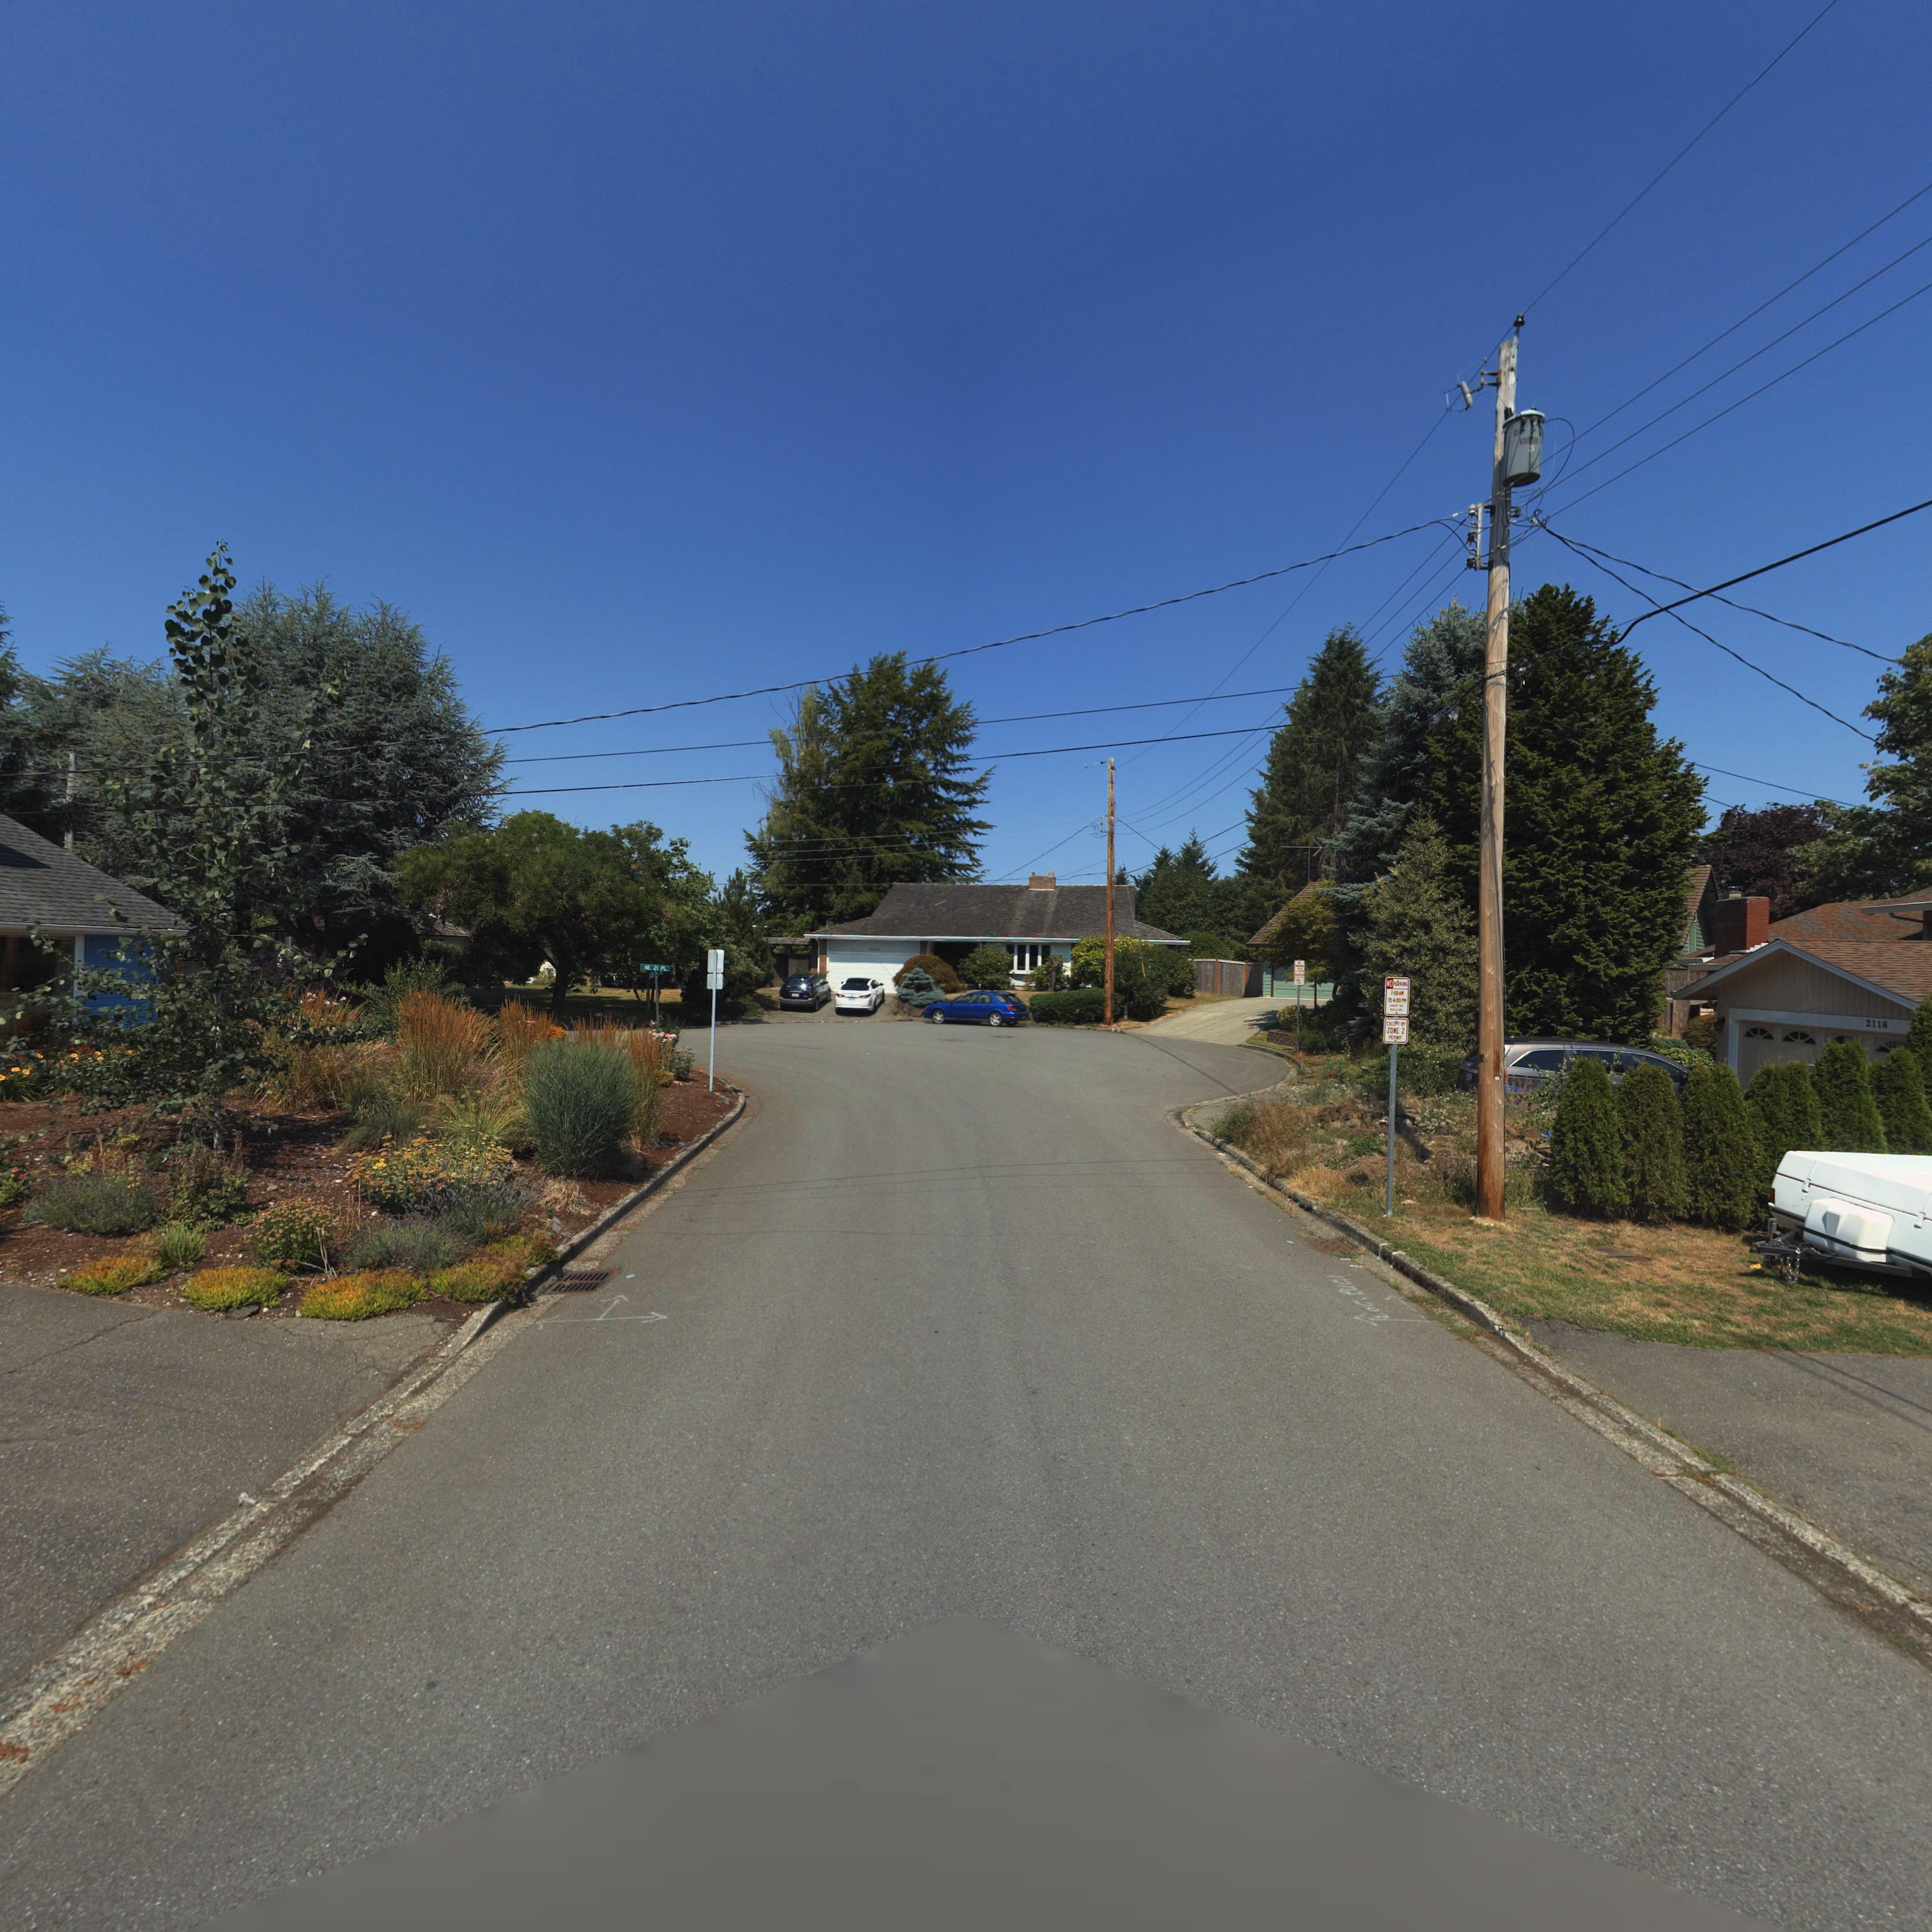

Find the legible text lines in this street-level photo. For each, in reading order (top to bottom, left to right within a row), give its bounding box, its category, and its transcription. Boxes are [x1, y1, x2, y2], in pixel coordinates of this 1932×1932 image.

[644, 965, 667, 970] StreetName: NE 21 PL
[1865, 1018, 1888, 1029] StreetNumber: 2116